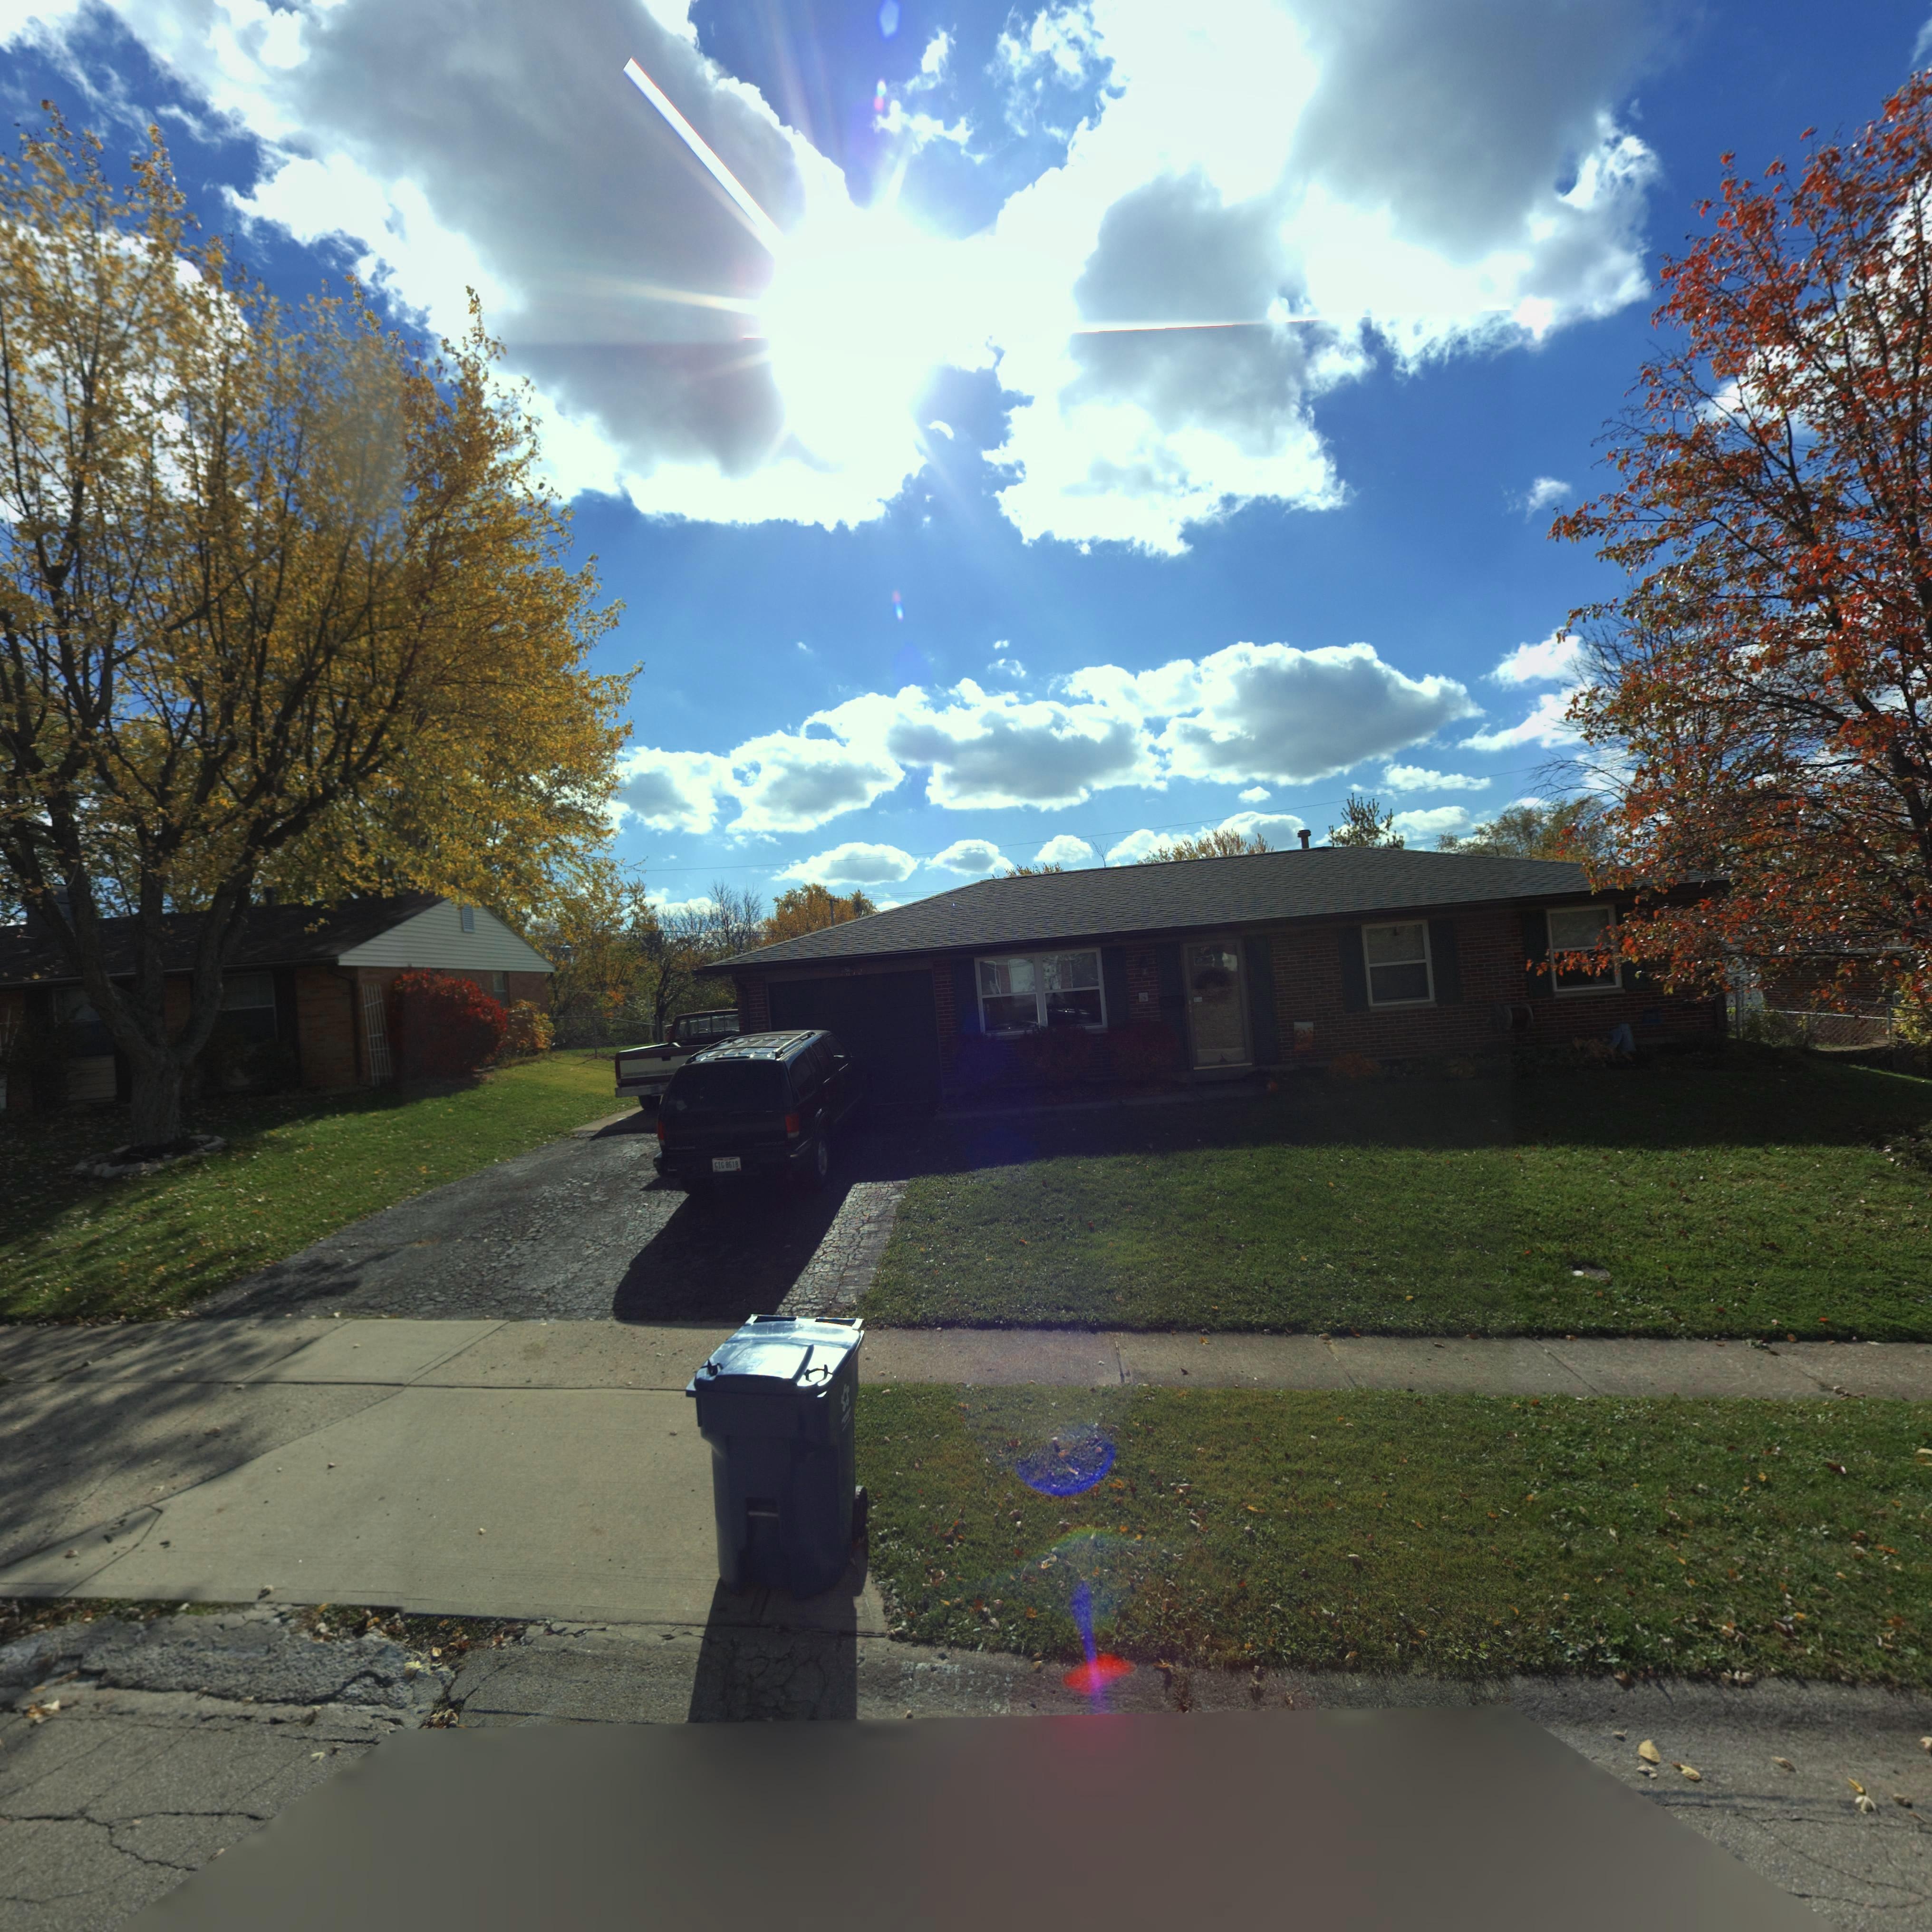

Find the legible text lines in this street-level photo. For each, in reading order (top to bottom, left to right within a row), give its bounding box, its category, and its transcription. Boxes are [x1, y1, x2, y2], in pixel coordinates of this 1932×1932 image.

[853, 967, 863, 976] StreetNumber: 12